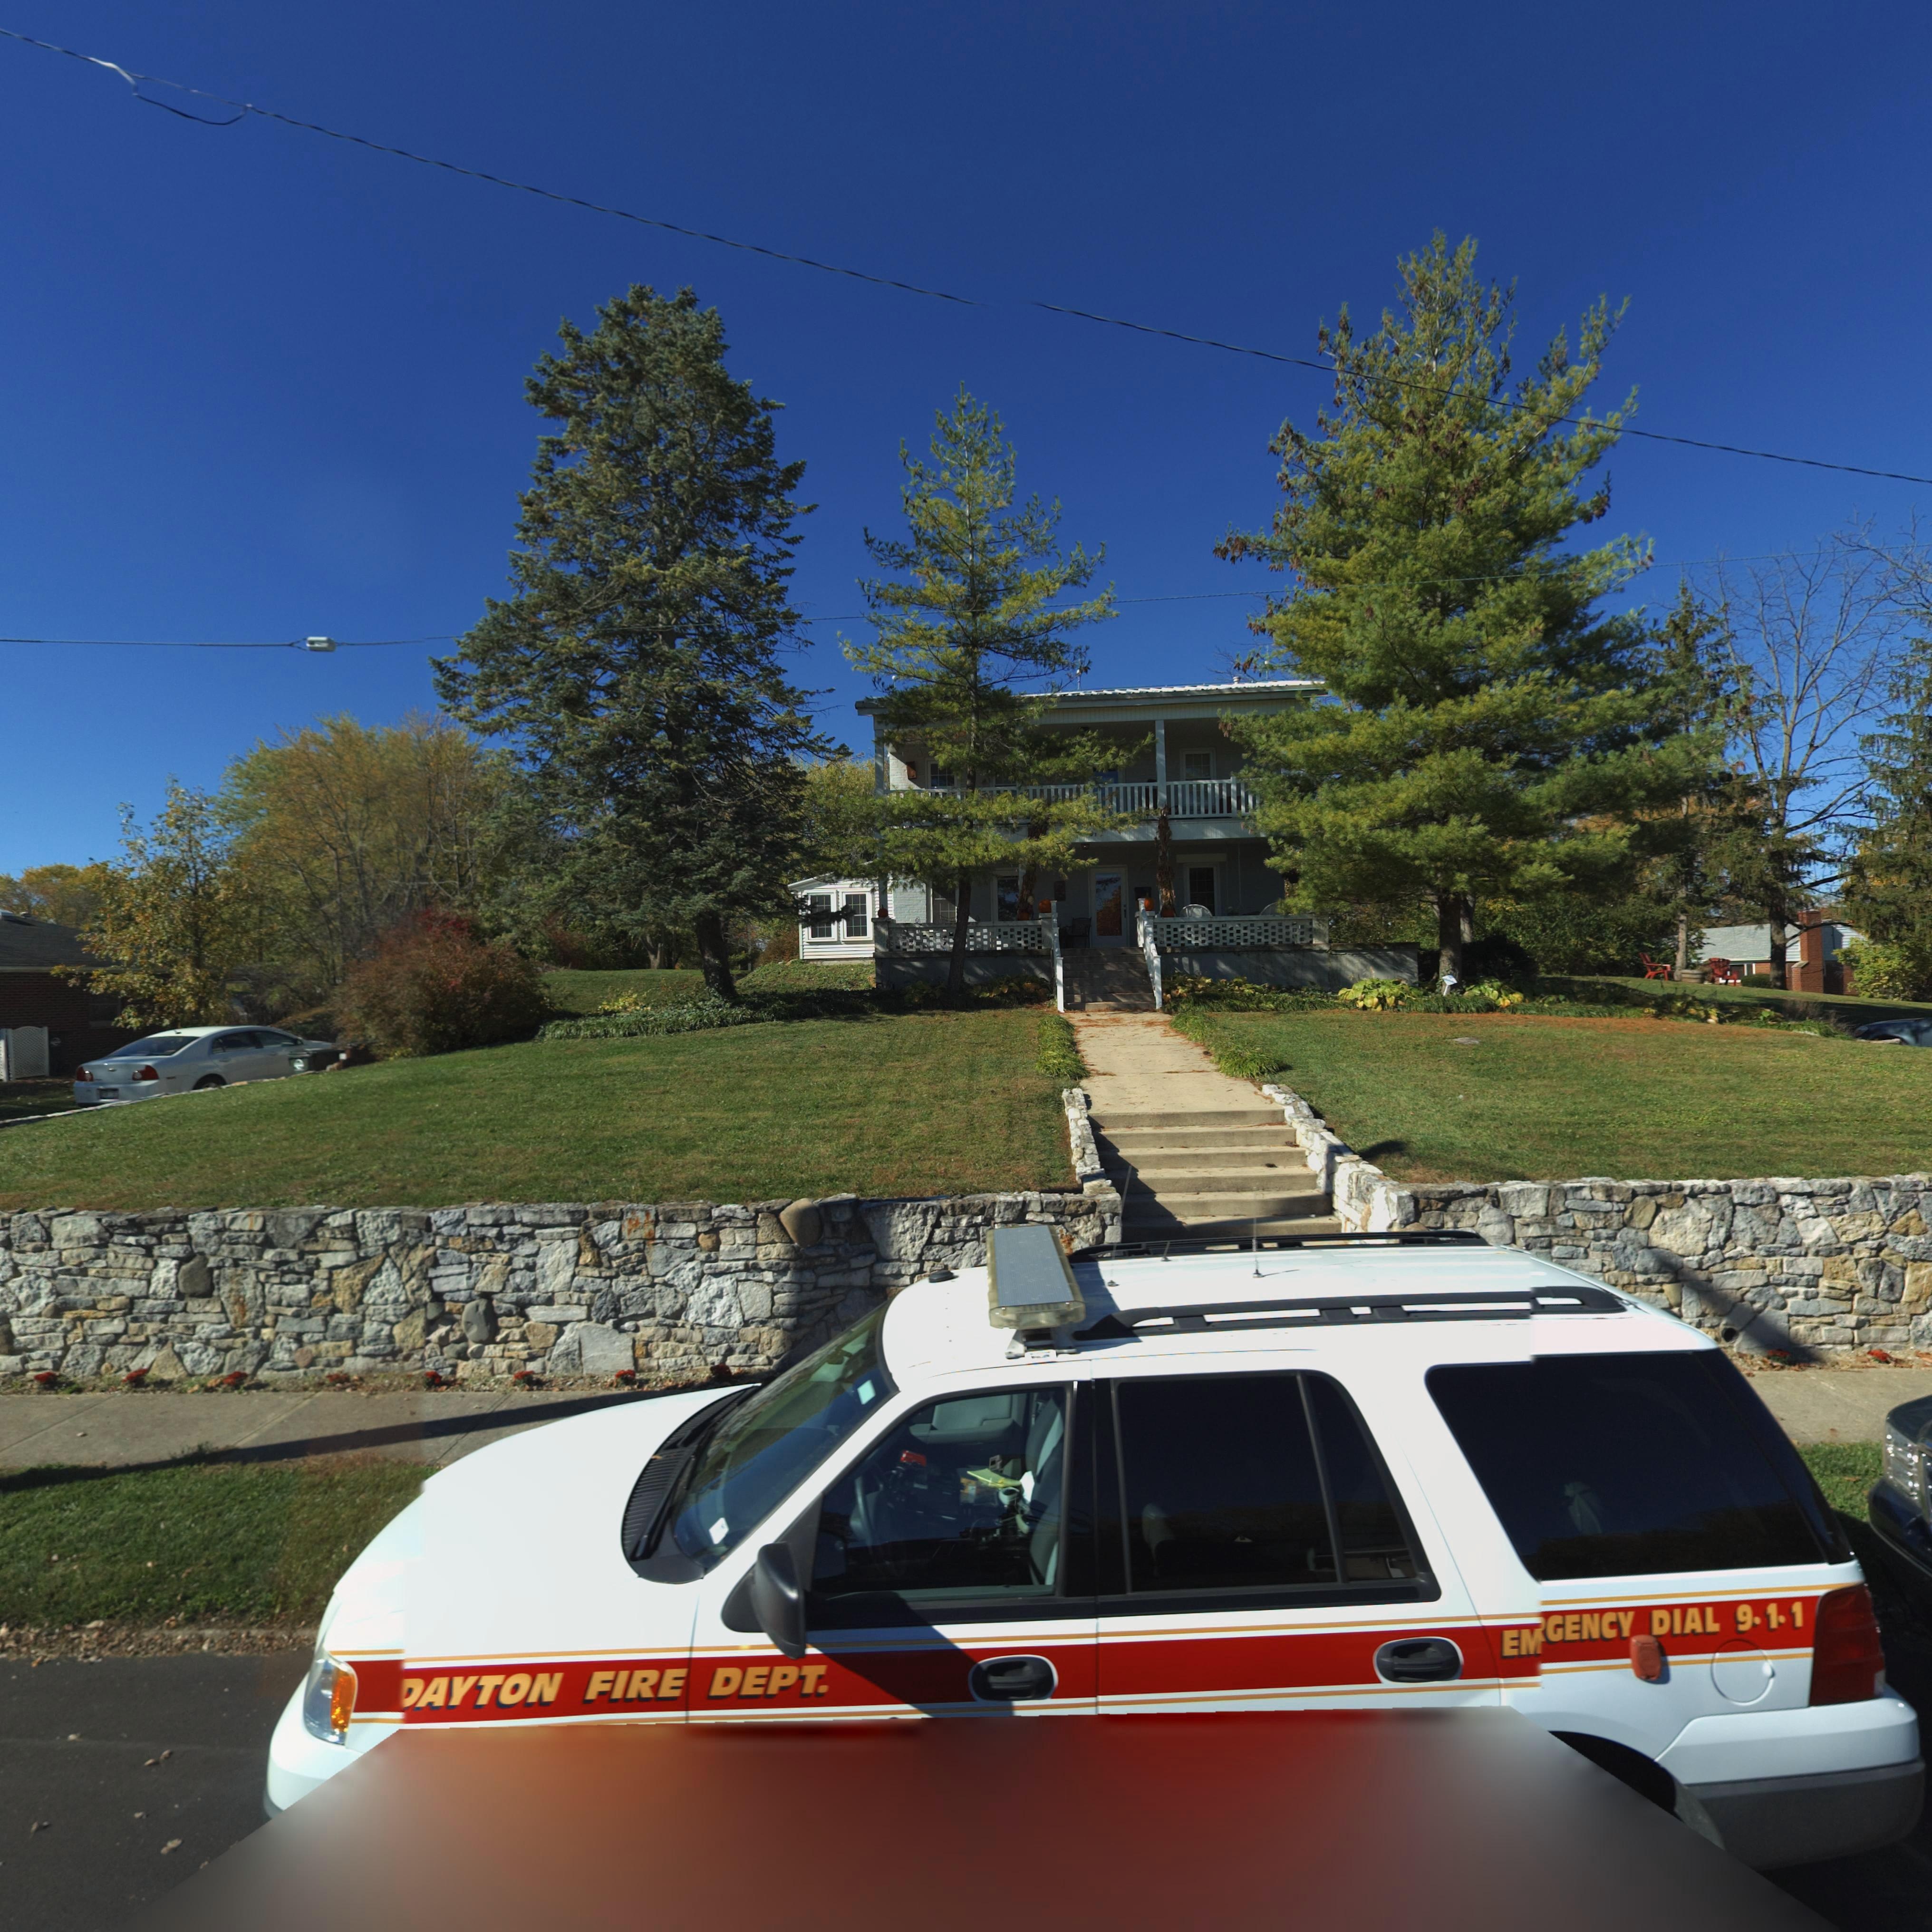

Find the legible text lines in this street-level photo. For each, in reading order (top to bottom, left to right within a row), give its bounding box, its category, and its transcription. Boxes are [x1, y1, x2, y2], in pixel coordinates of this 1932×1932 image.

[1500, 1628, 1520, 1657] None: E
[1545, 1600, 1805, 1643] None: GENCY DIAL 9-1-1
[411, 1663, 831, 1710] None: AYTON FIRE DEPT.